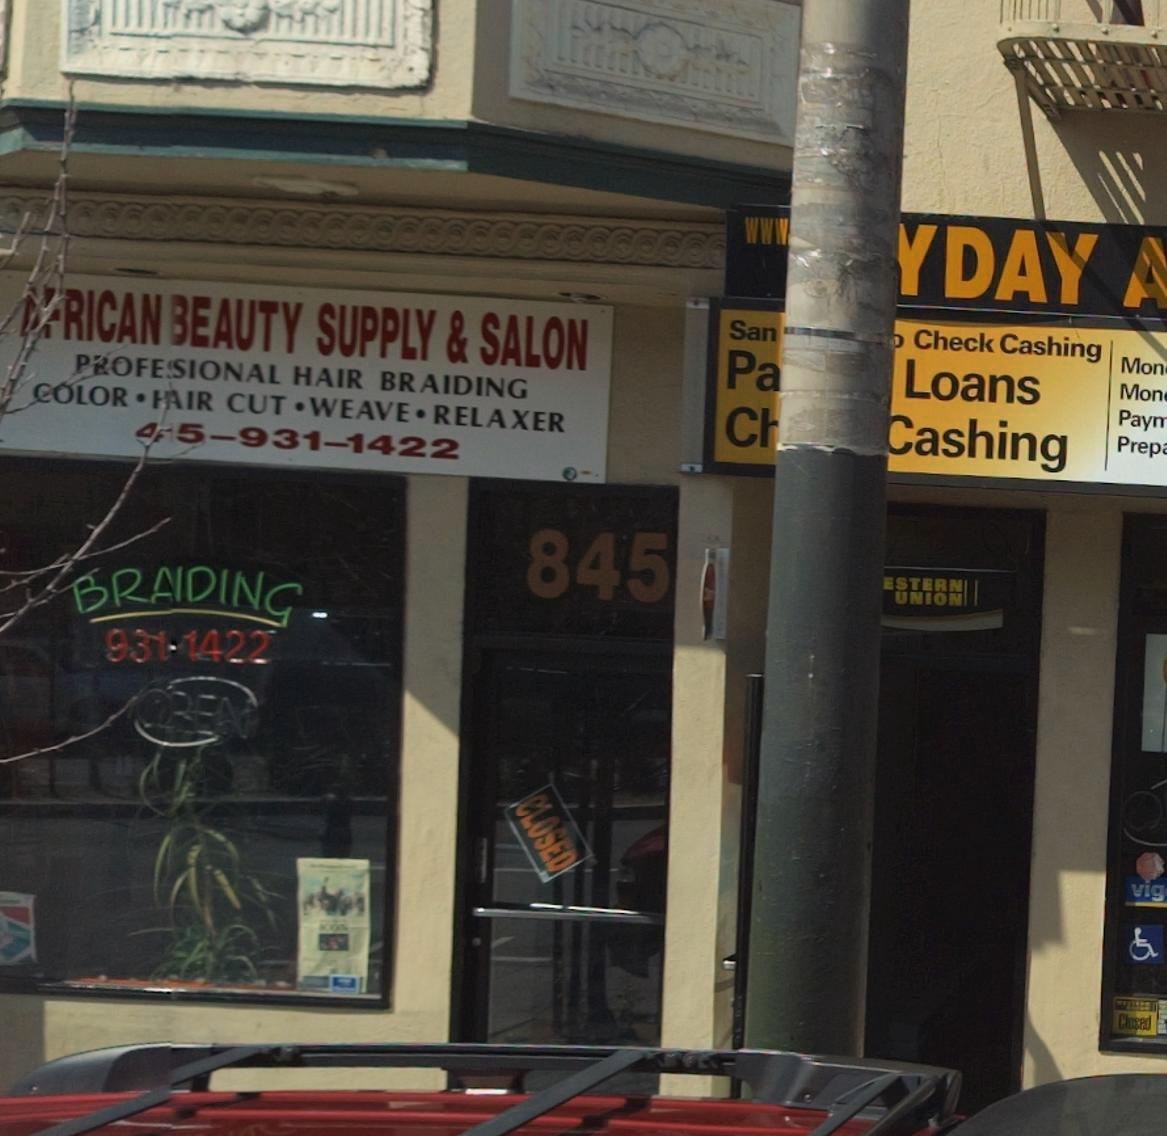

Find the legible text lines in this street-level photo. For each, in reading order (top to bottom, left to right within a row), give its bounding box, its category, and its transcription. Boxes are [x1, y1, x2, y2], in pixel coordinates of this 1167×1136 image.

[939, 221, 1103, 308] None: DAY
[76, 383, 126, 410] None: LOR
[174, 421, 463, 462] None: 5-931-1422
[61, 284, 591, 373] BusinessName: RICAN BEAUTY SUPPLY & SALON
[188, 356, 530, 401] None: IONAL HAIR BRAIDING
[183, 389, 568, 434] None: IR CUYT * WEAVE * RELAXER
[722, 405, 760, 450] None: C
[721, 347, 780, 395] None: Pa
[727, 318, 781, 342] None: San
[902, 355, 1045, 408] None: Loans
[886, 412, 1070, 476] None: Cashing
[912, 325, 1104, 365] None: Check Cashing
[1118, 407, 1154, 432] None: Pay
[1113, 434, 1161, 460] None: Prep
[1118, 380, 1164, 403] None: Mon
[1119, 352, 1165, 377] None: Mon
[71, 560, 309, 626] None: BRAIDING
[523, 526, 672, 604] StreetNumber: 845
[883, 576, 964, 592] None: ESTERN
[894, 589, 964, 607] None: UNION
[102, 627, 272, 670] None: 931-1422
[129, 686, 260, 745] None: OPEN
[512, 789, 582, 876] None: CLOSED
[1128, 877, 1166, 903] None: vig
[1116, 1013, 1152, 1033] None: Closed